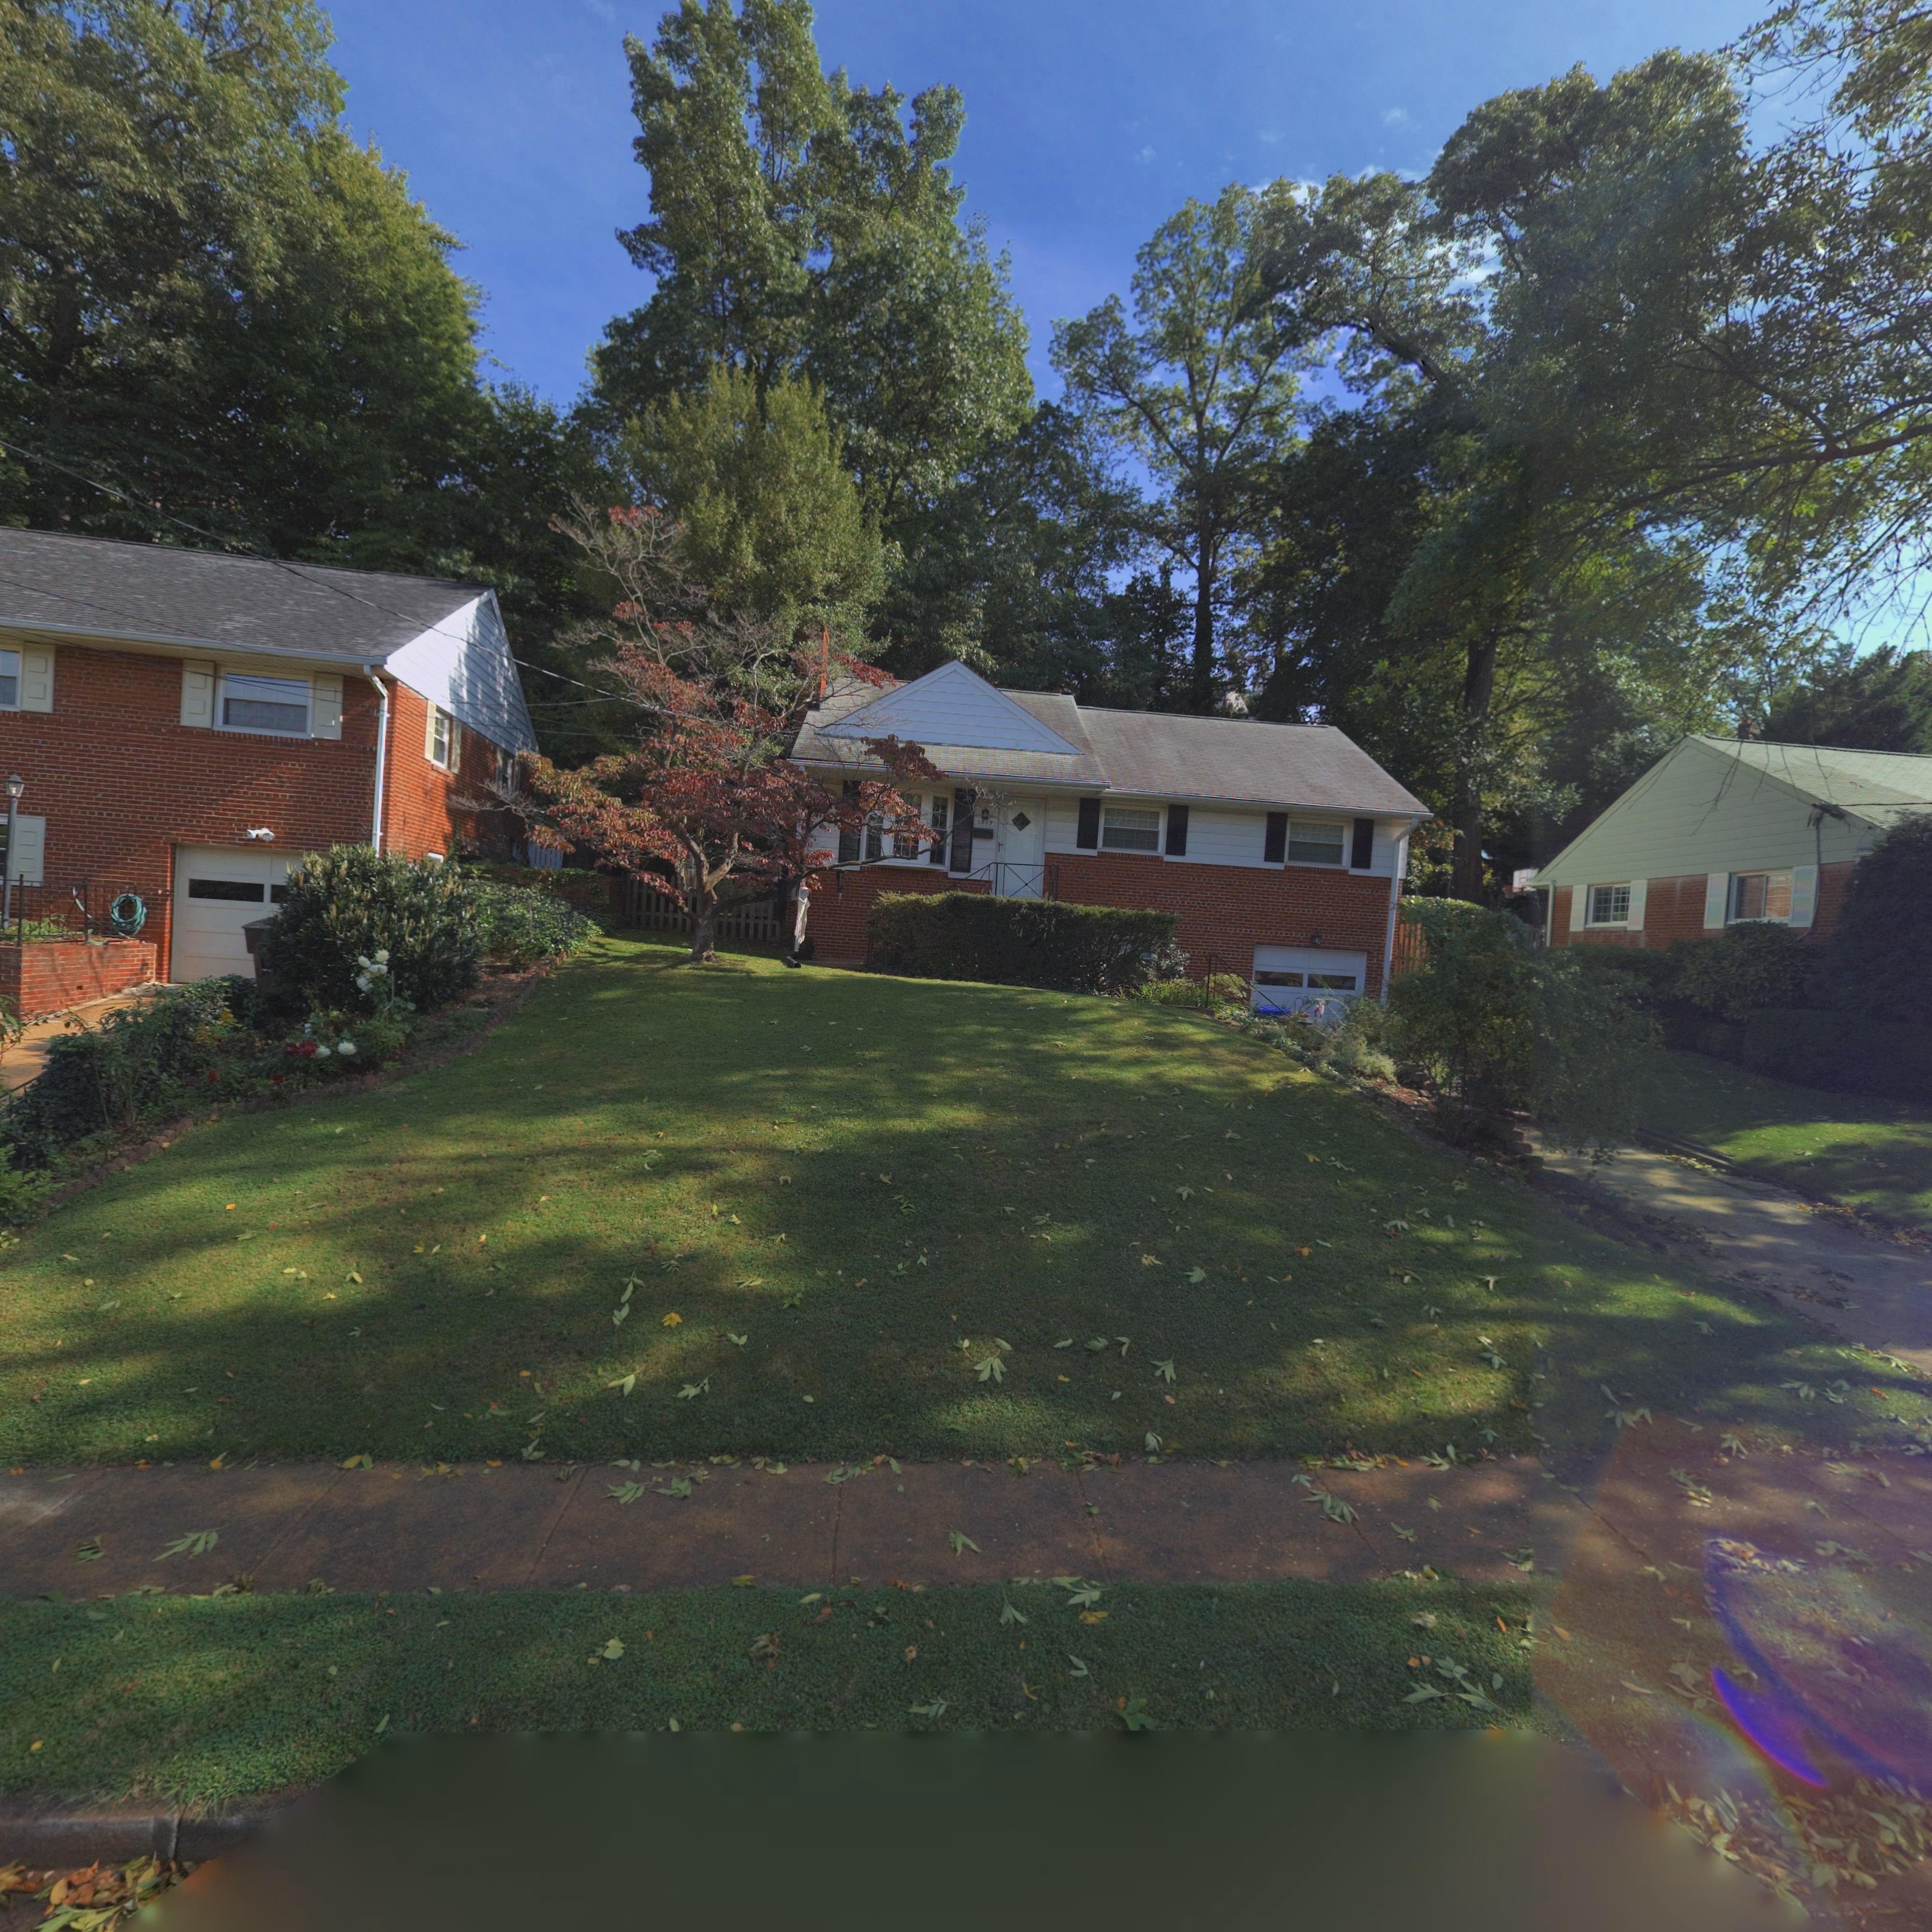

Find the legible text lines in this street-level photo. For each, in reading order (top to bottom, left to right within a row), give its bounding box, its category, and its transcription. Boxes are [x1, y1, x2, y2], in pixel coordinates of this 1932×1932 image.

[977, 819, 994, 826] StreetNumber: 1817